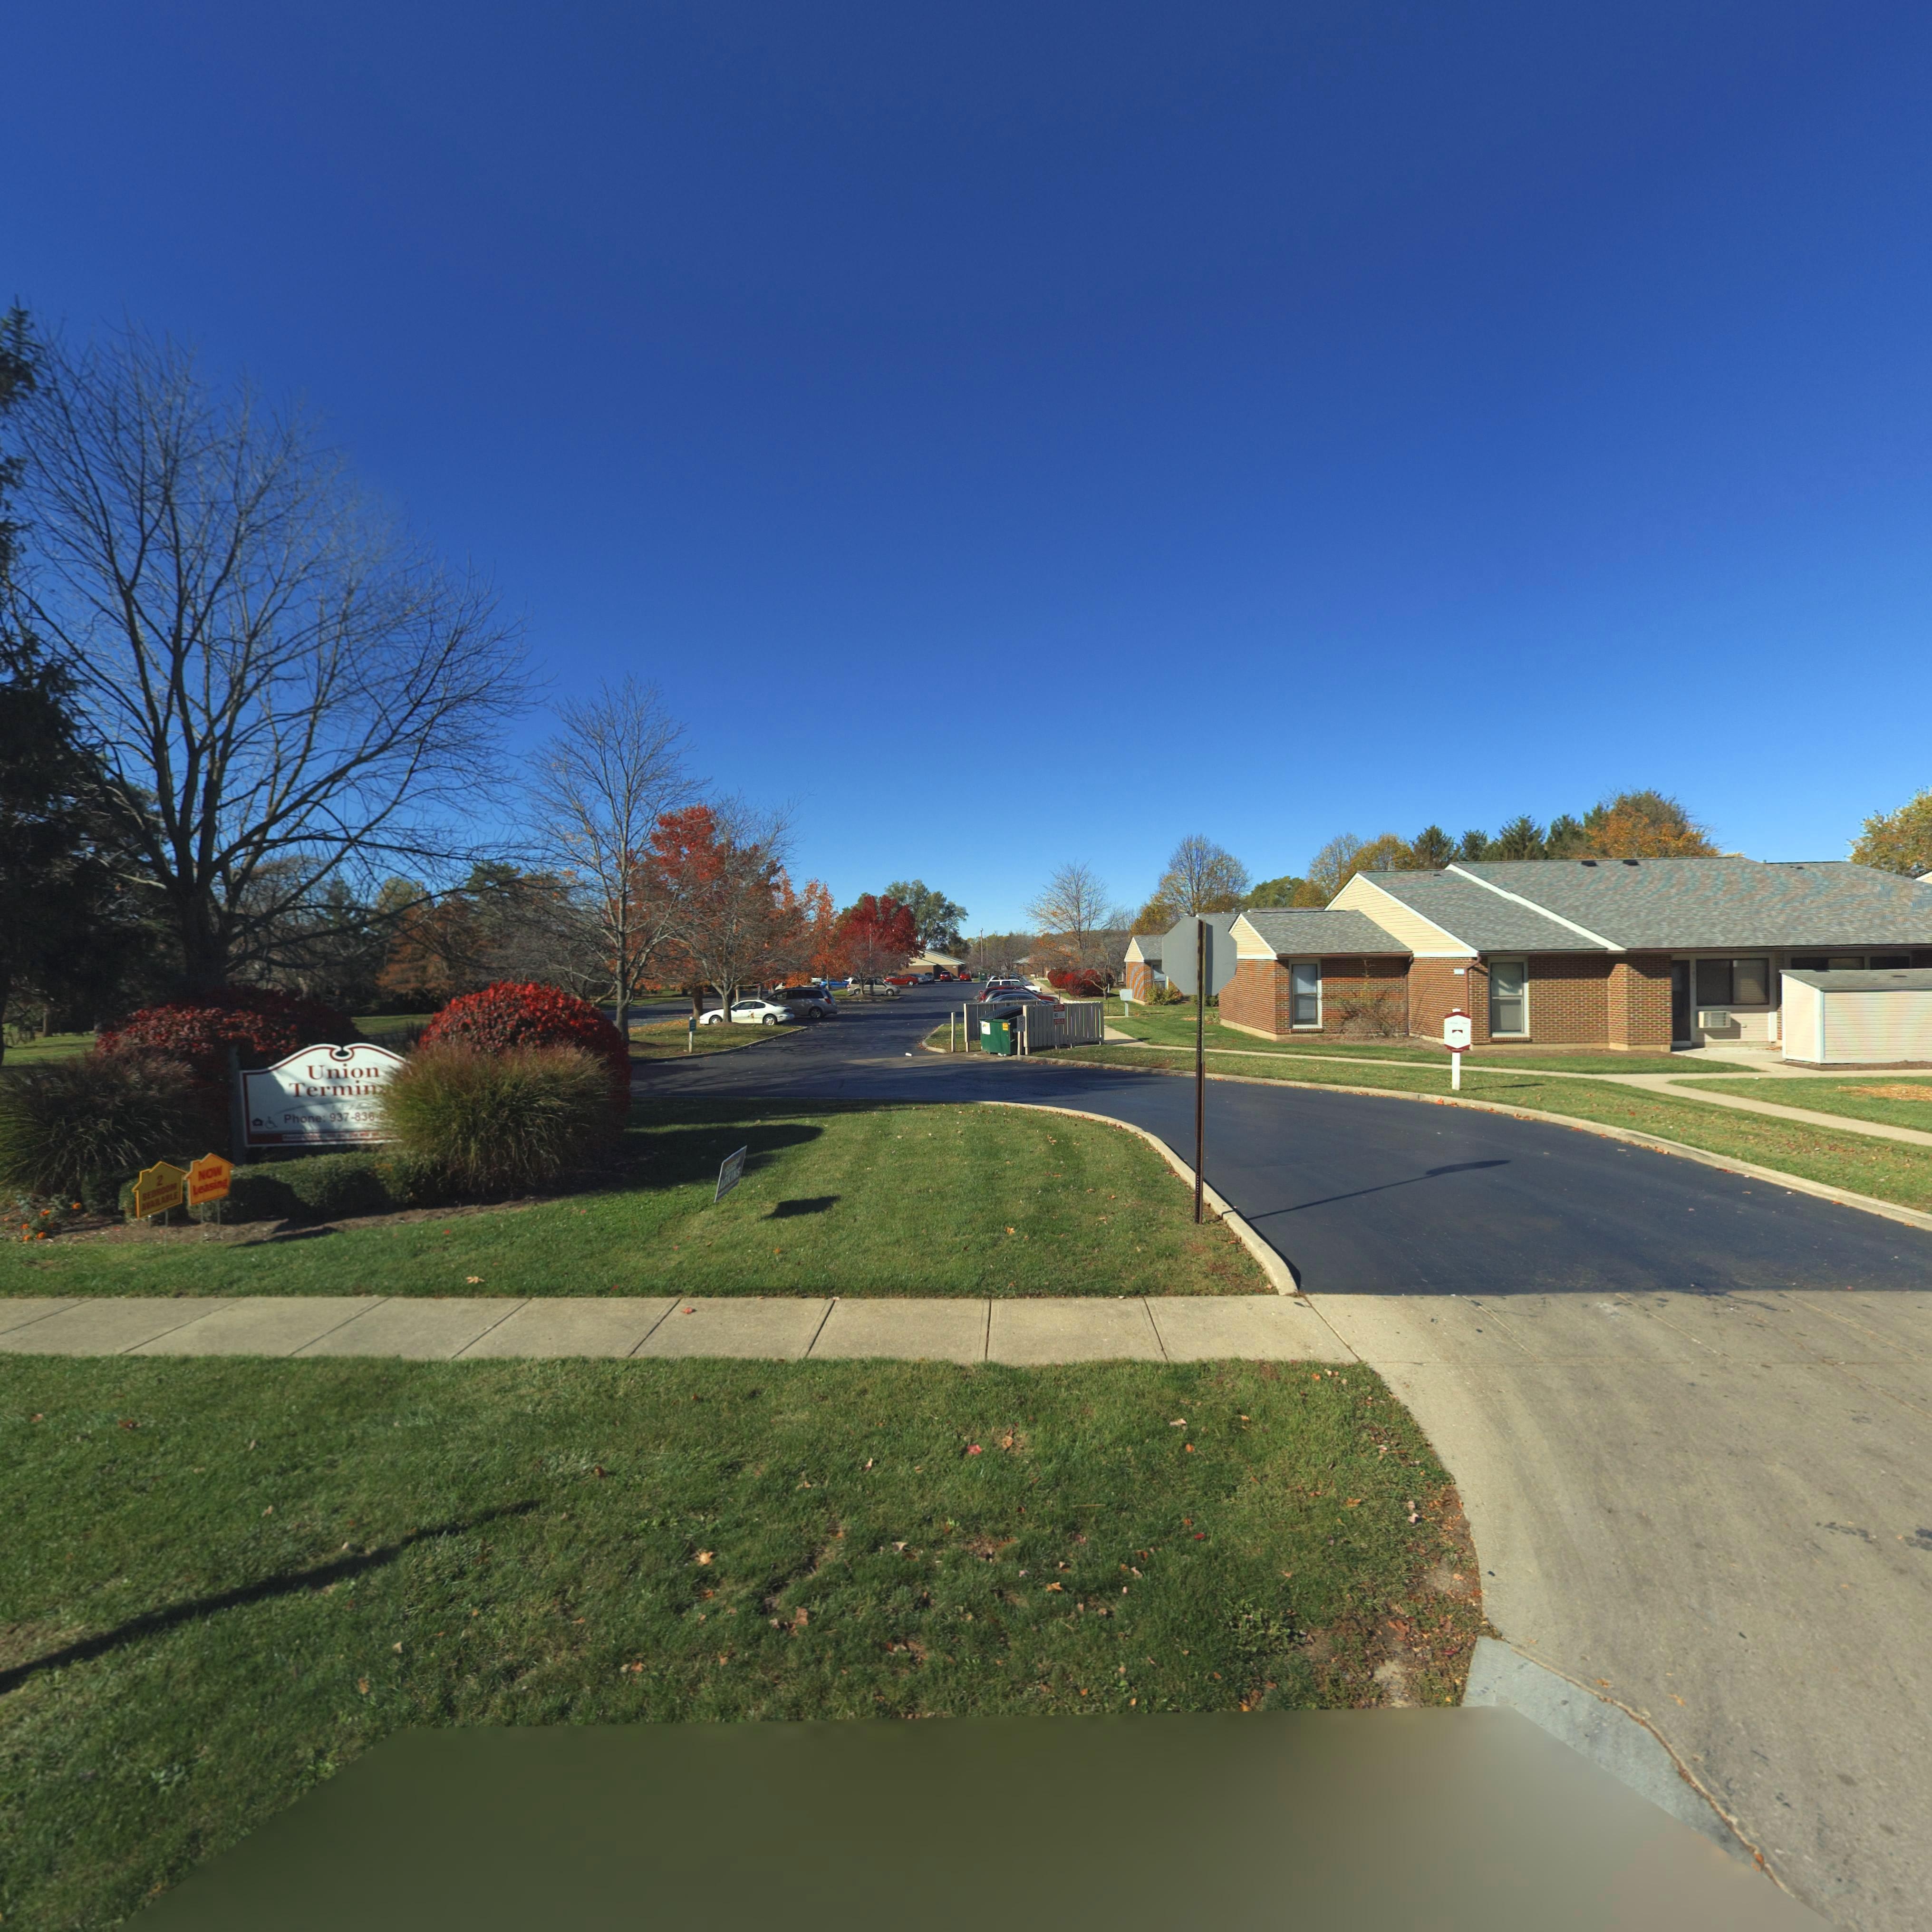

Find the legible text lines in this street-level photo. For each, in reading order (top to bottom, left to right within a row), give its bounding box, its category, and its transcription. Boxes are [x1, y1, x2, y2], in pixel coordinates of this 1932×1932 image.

[1691, 965, 1695, 976] StreetNumber: 10
[307, 1062, 381, 1081] BusinessName: Union
[286, 1080, 380, 1098] BusinessName: Termin
[155, 1174, 163, 1187] None: 2
[141, 1190, 178, 1213] None: AVAILABLE
[142, 1182, 177, 1202] None: BED*OO*
[197, 1163, 222, 1183] None: NOW
[191, 1177, 229, 1198] None: Leasing
[718, 1166, 741, 1194] None: ADKINS